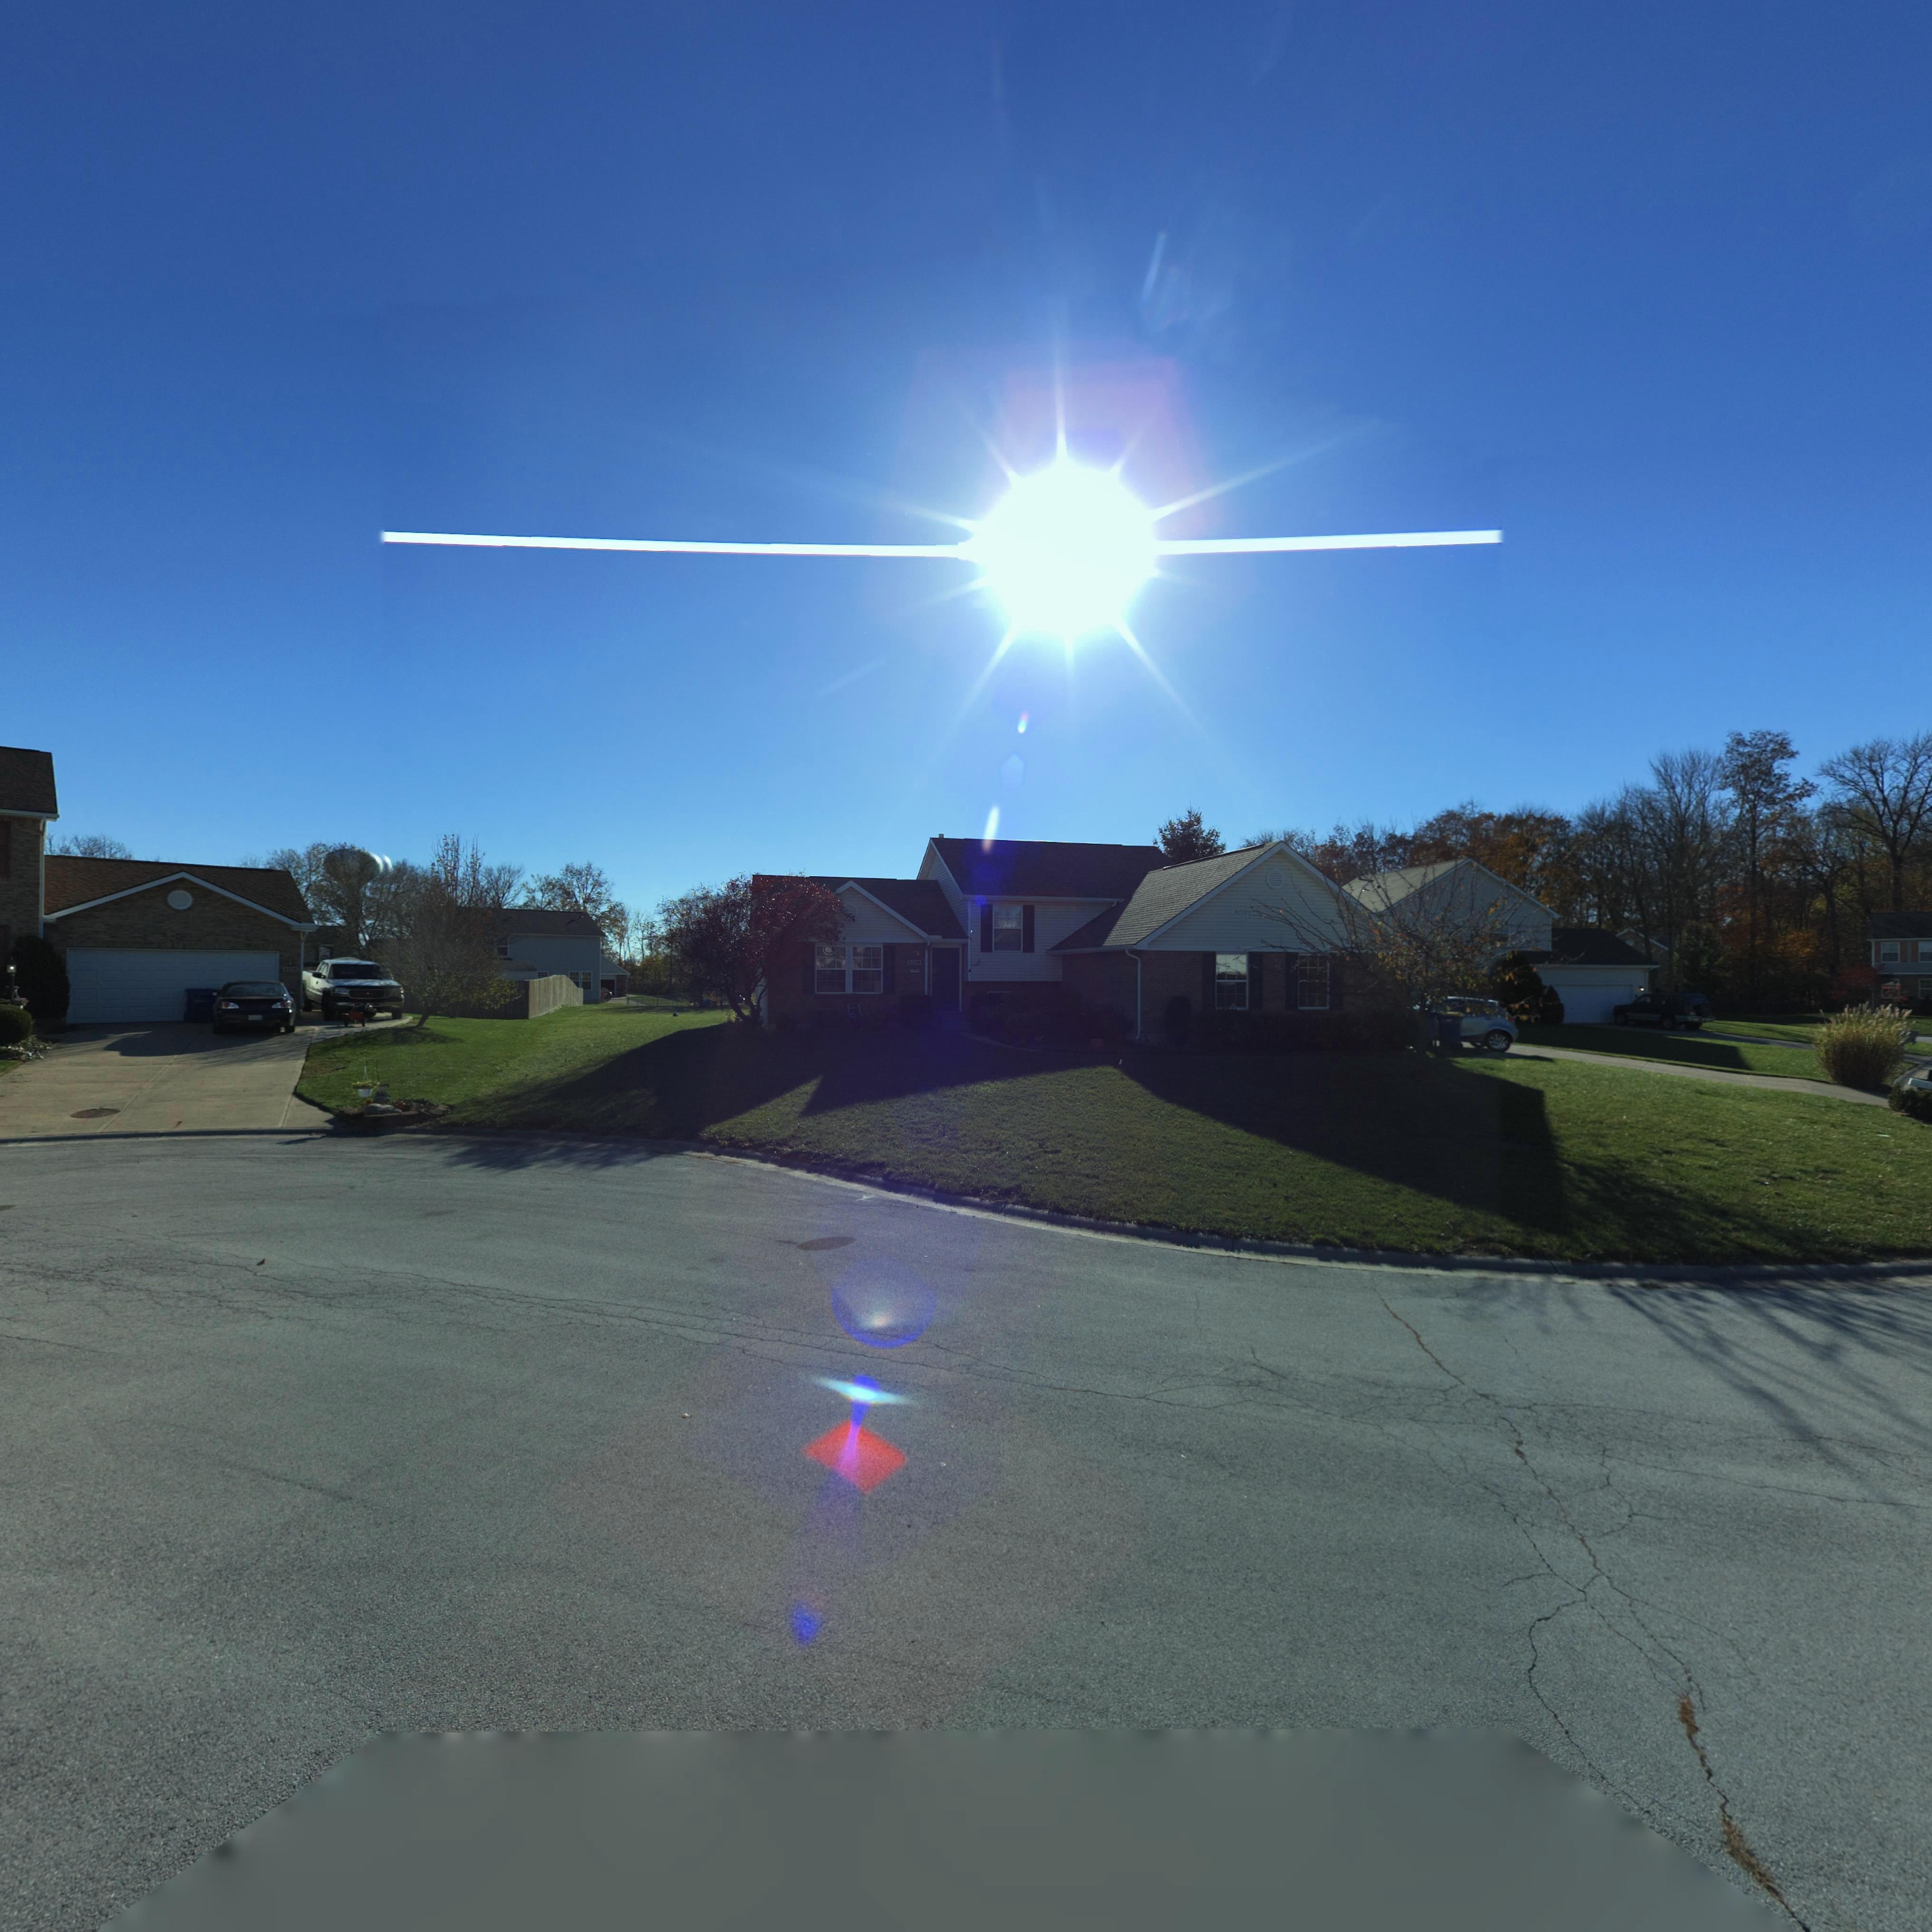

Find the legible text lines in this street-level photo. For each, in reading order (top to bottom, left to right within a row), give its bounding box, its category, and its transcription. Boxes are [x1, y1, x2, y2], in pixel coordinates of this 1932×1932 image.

[908, 960, 920, 964] StreetNumber: 6350
[284, 967, 298, 971] StreetNumber: *3**